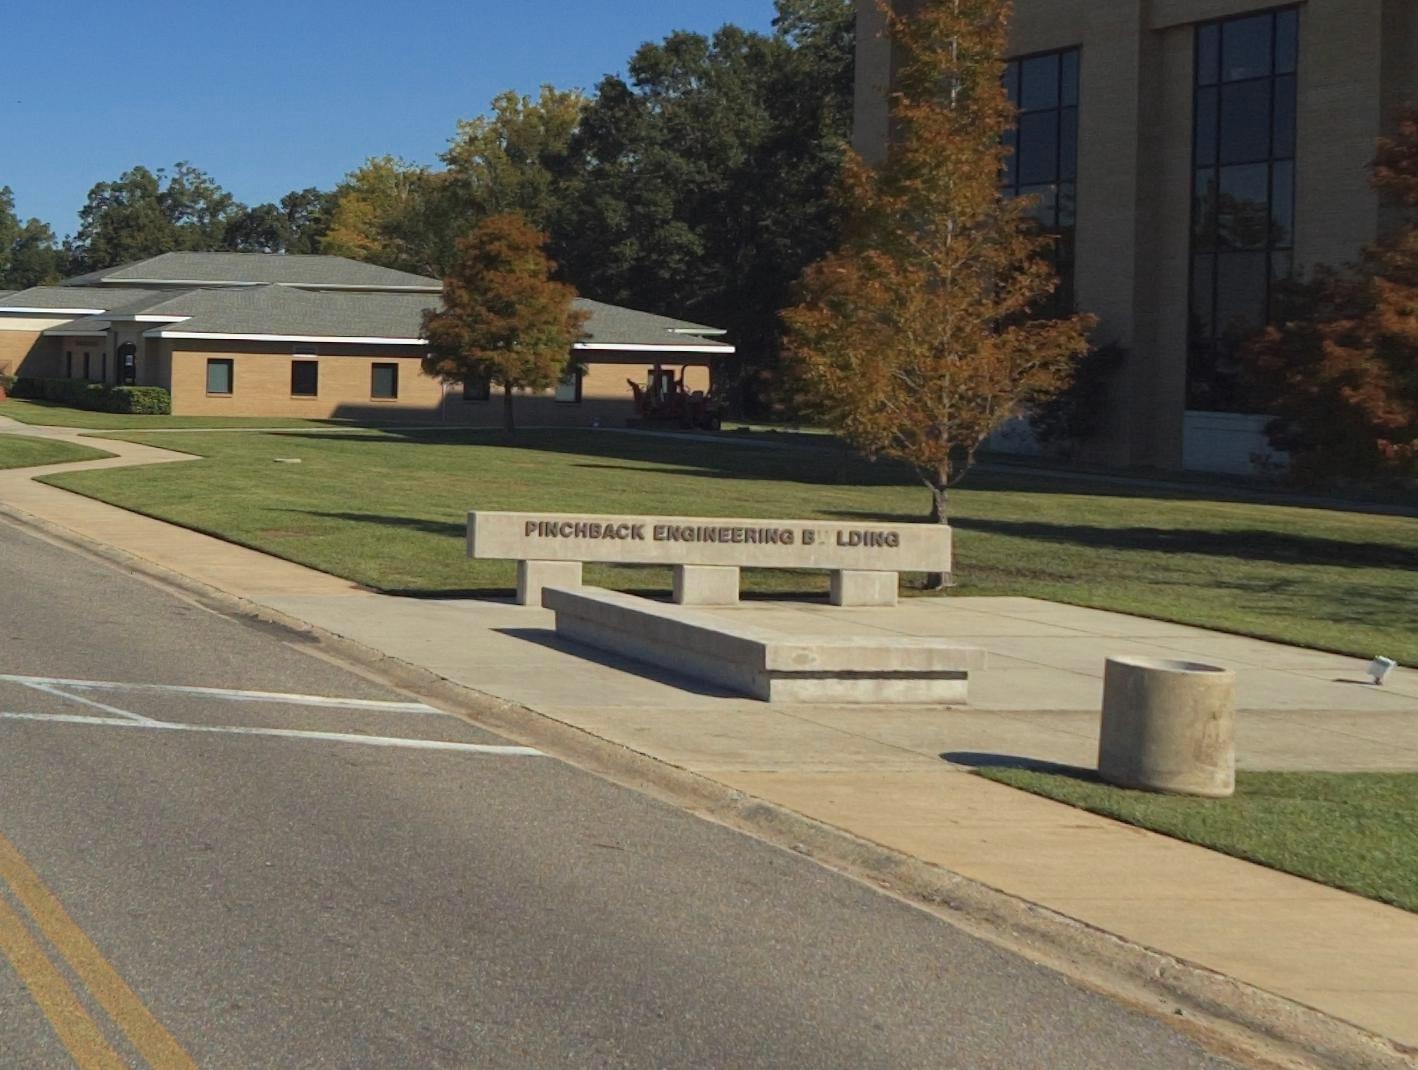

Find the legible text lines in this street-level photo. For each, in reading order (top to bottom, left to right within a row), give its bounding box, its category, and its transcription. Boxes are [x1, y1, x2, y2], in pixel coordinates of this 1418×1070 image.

[523, 520, 901, 549] BusinessName: PINCHBACK ENGINEERING B**LDING